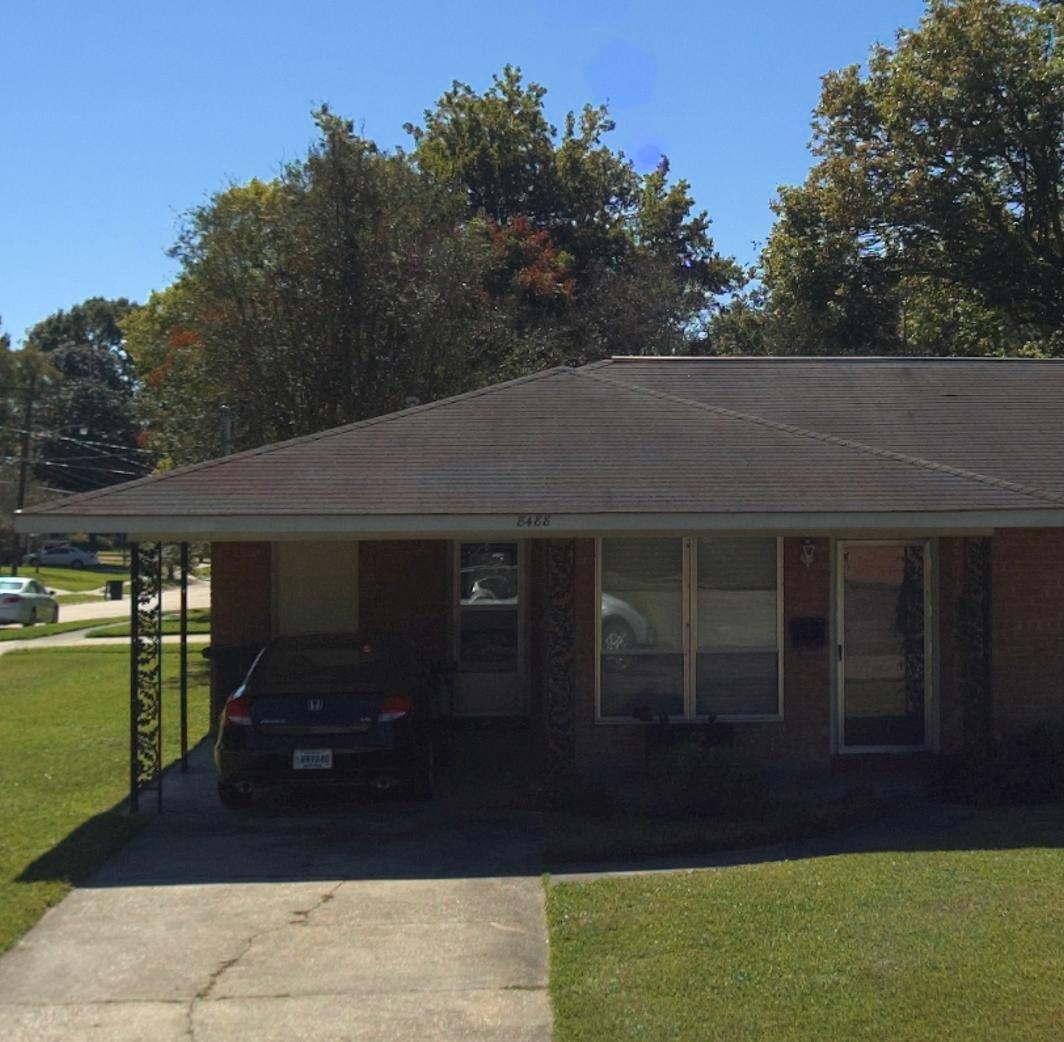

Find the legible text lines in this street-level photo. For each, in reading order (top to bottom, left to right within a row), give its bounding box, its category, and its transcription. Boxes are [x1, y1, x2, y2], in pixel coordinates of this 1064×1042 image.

[513, 513, 553, 529] StreetNumber: 8488